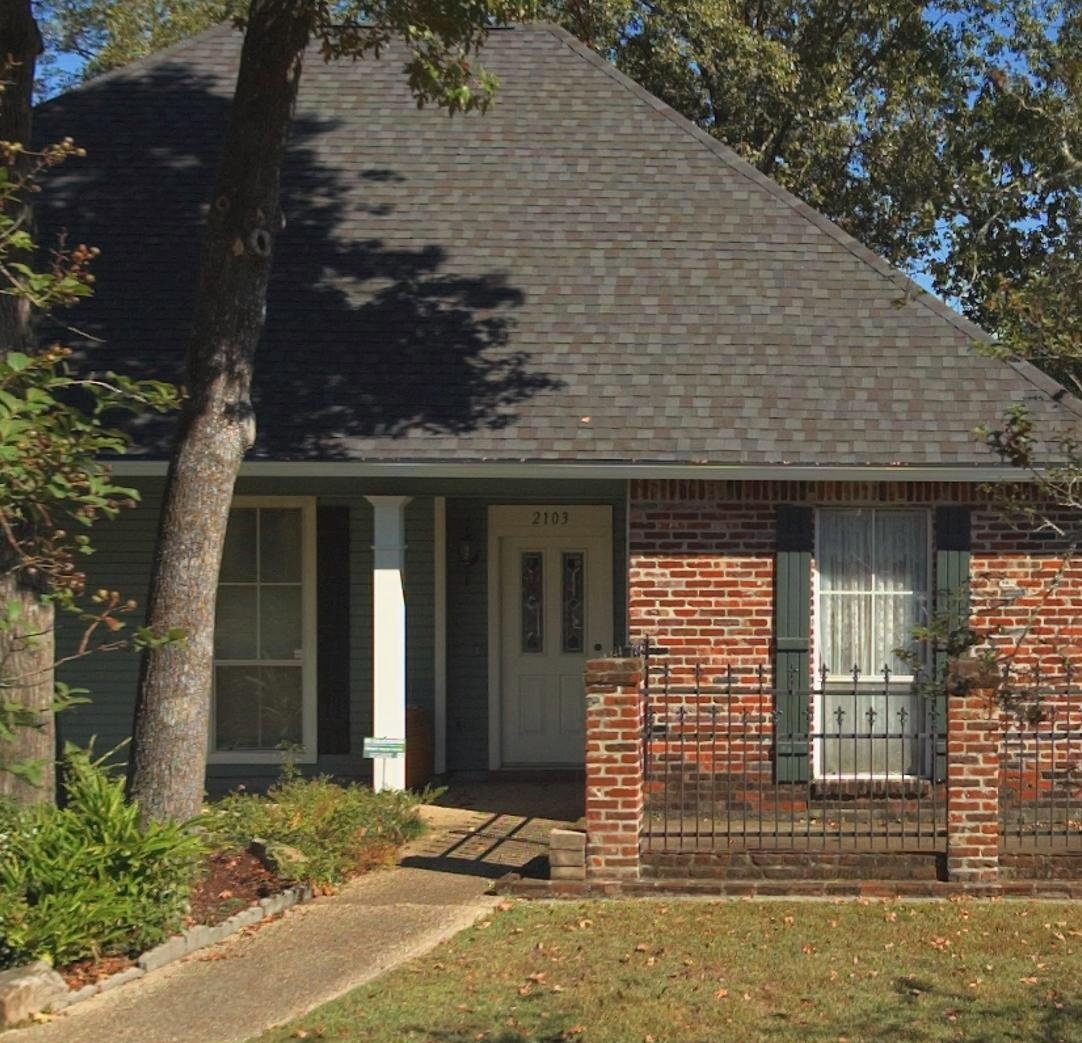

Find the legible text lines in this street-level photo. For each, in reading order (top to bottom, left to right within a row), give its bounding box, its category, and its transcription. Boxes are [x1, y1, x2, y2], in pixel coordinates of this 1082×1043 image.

[529, 509, 570, 527] StreetNumber: 2103